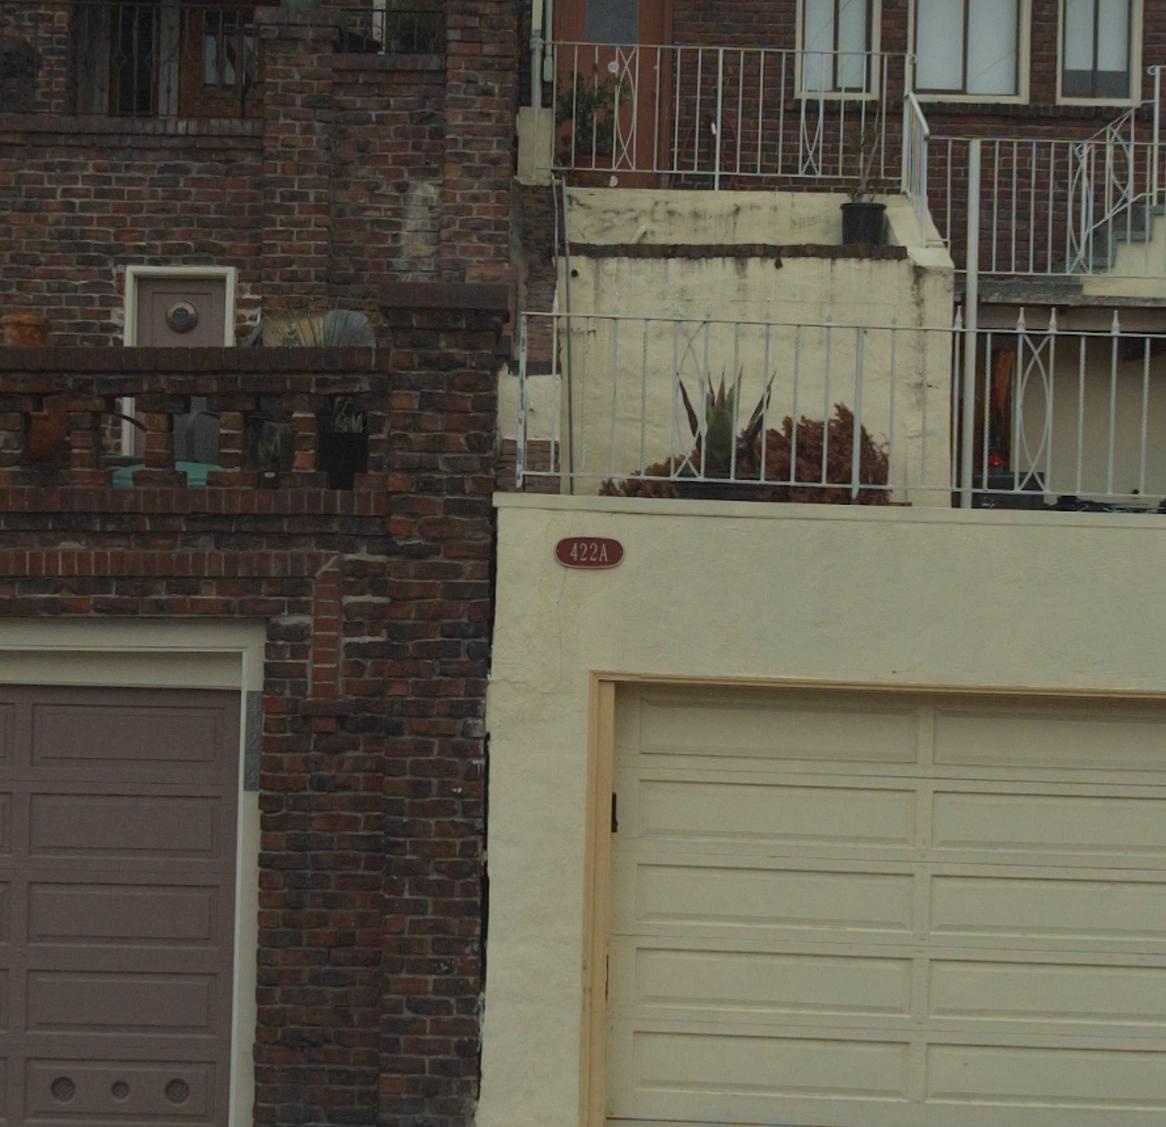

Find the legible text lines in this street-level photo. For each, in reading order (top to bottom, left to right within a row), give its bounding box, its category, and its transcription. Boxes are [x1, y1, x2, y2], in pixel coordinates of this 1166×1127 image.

[568, 541, 610, 563] StreetNumber: 422A